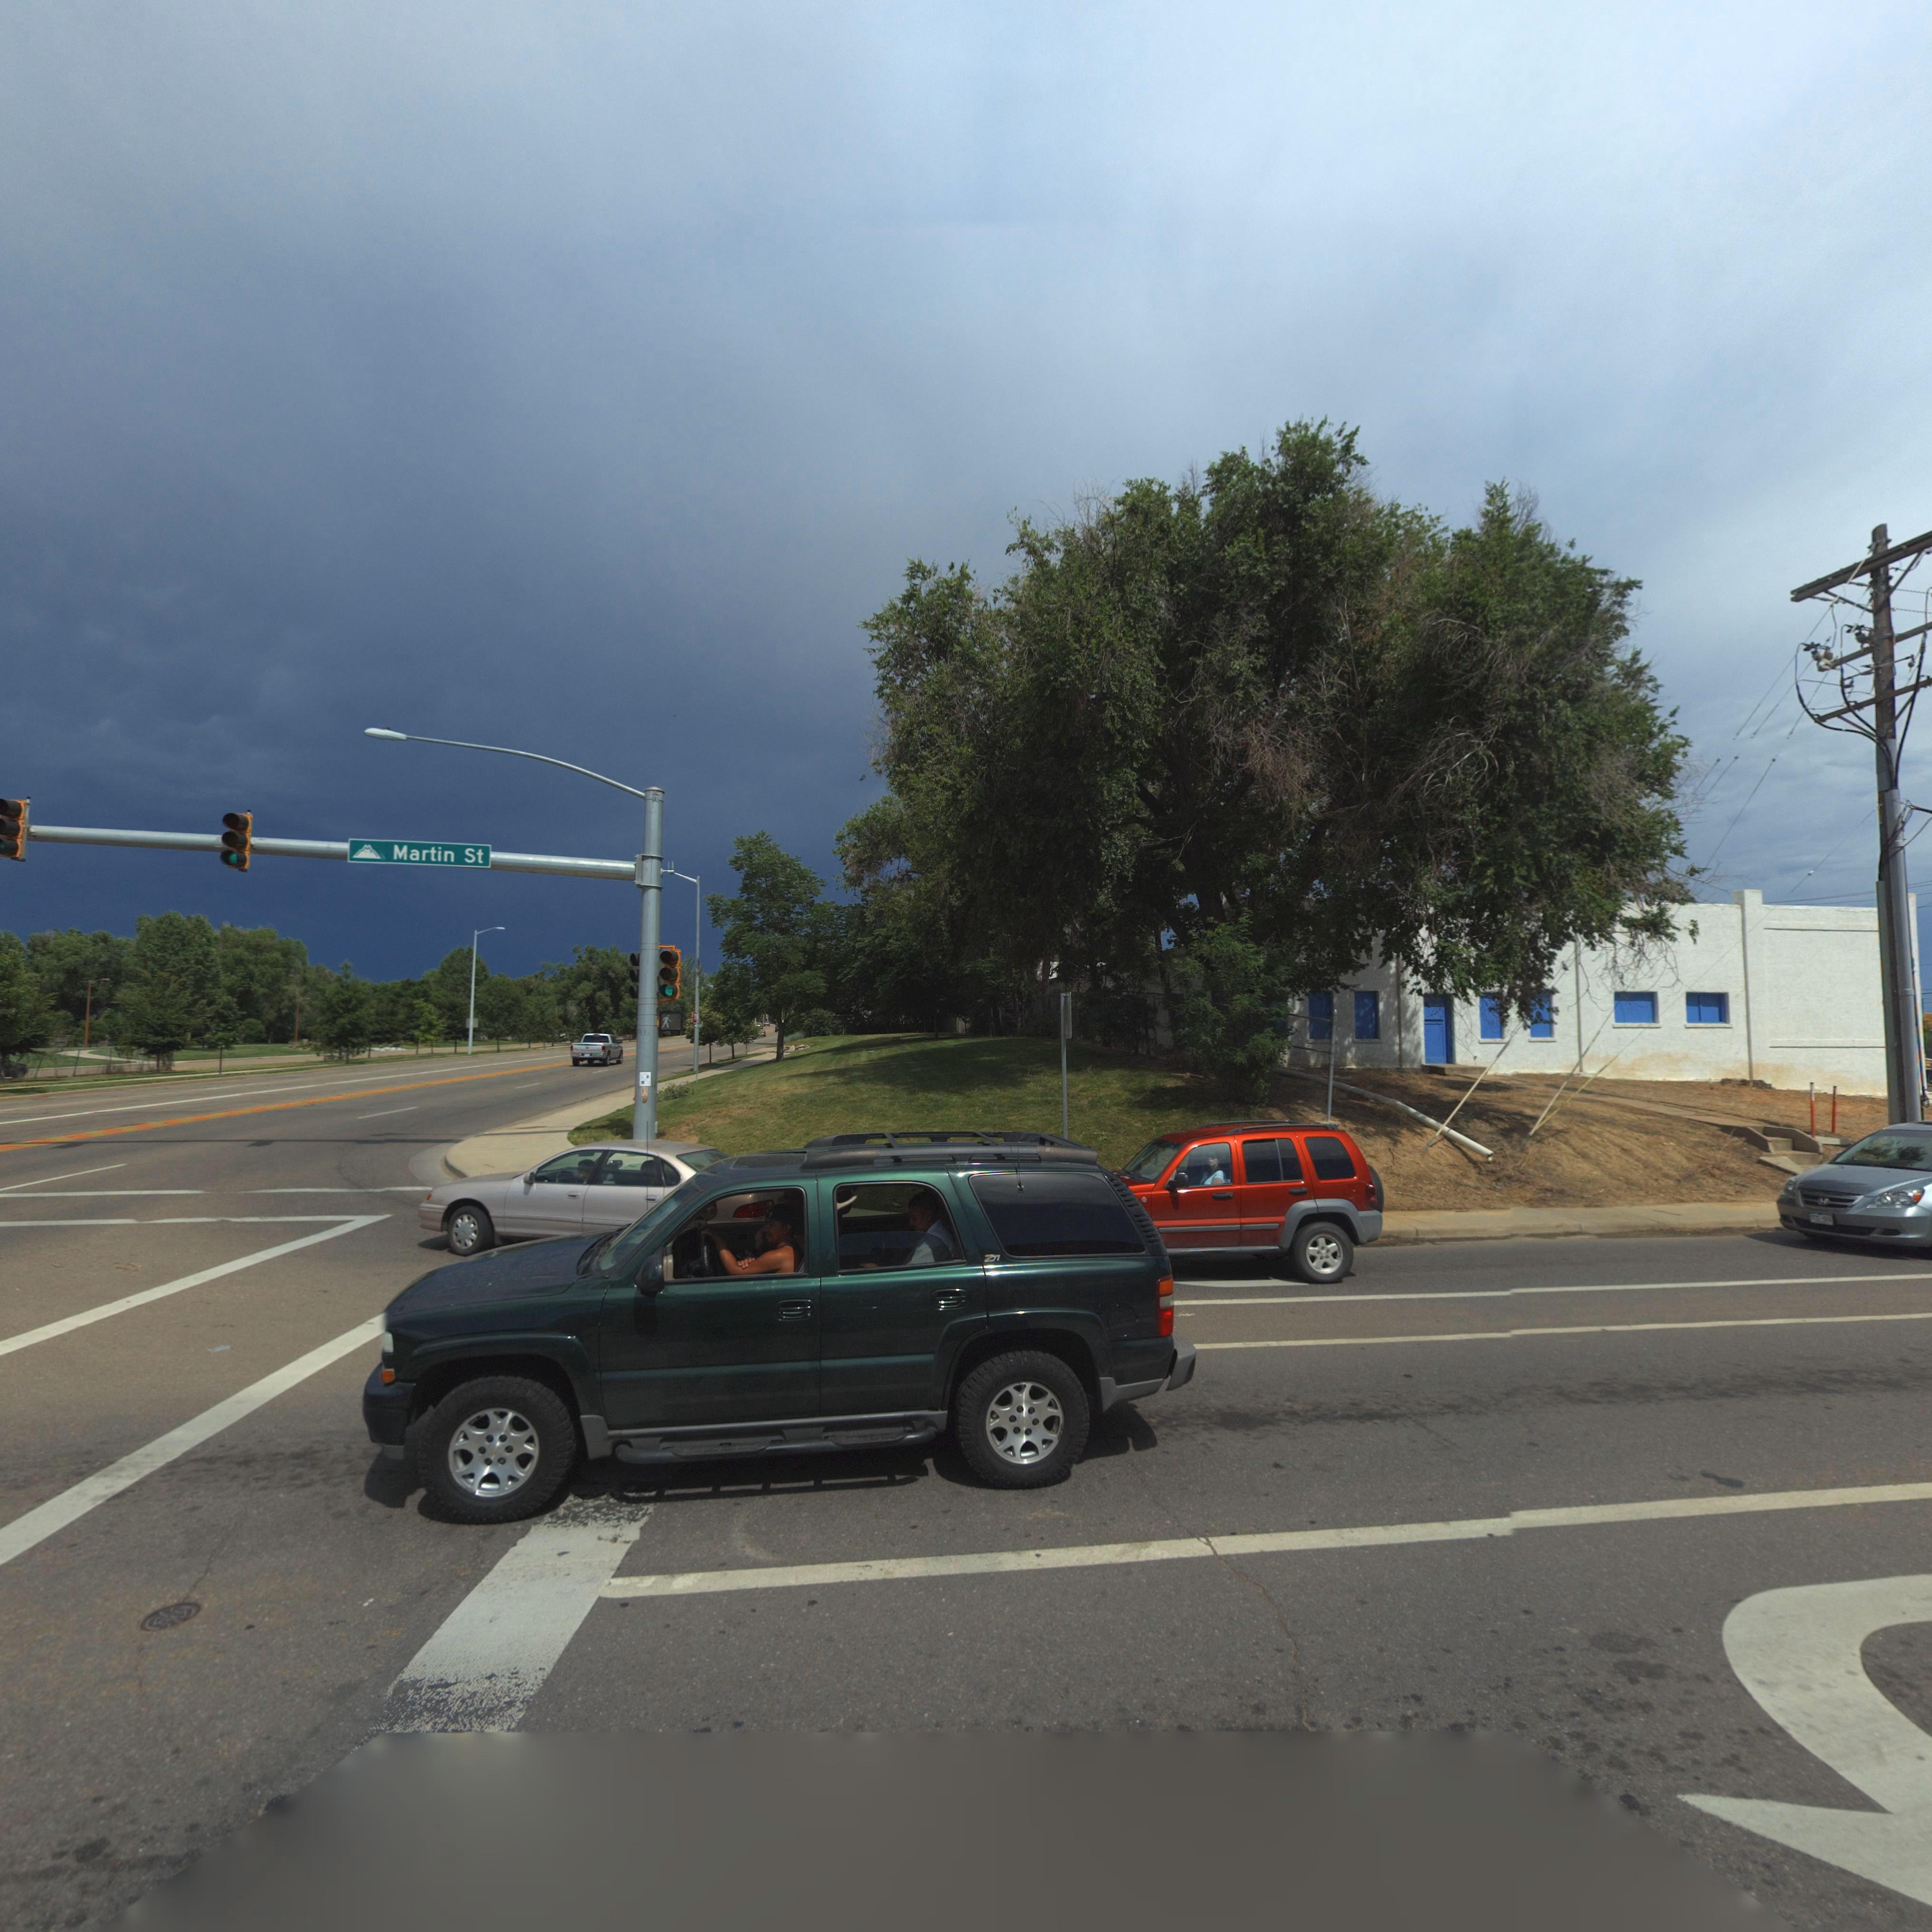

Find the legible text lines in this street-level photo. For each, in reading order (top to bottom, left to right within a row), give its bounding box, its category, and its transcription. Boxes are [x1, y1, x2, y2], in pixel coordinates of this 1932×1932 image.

[393, 844, 484, 863] StreetName: Martin St